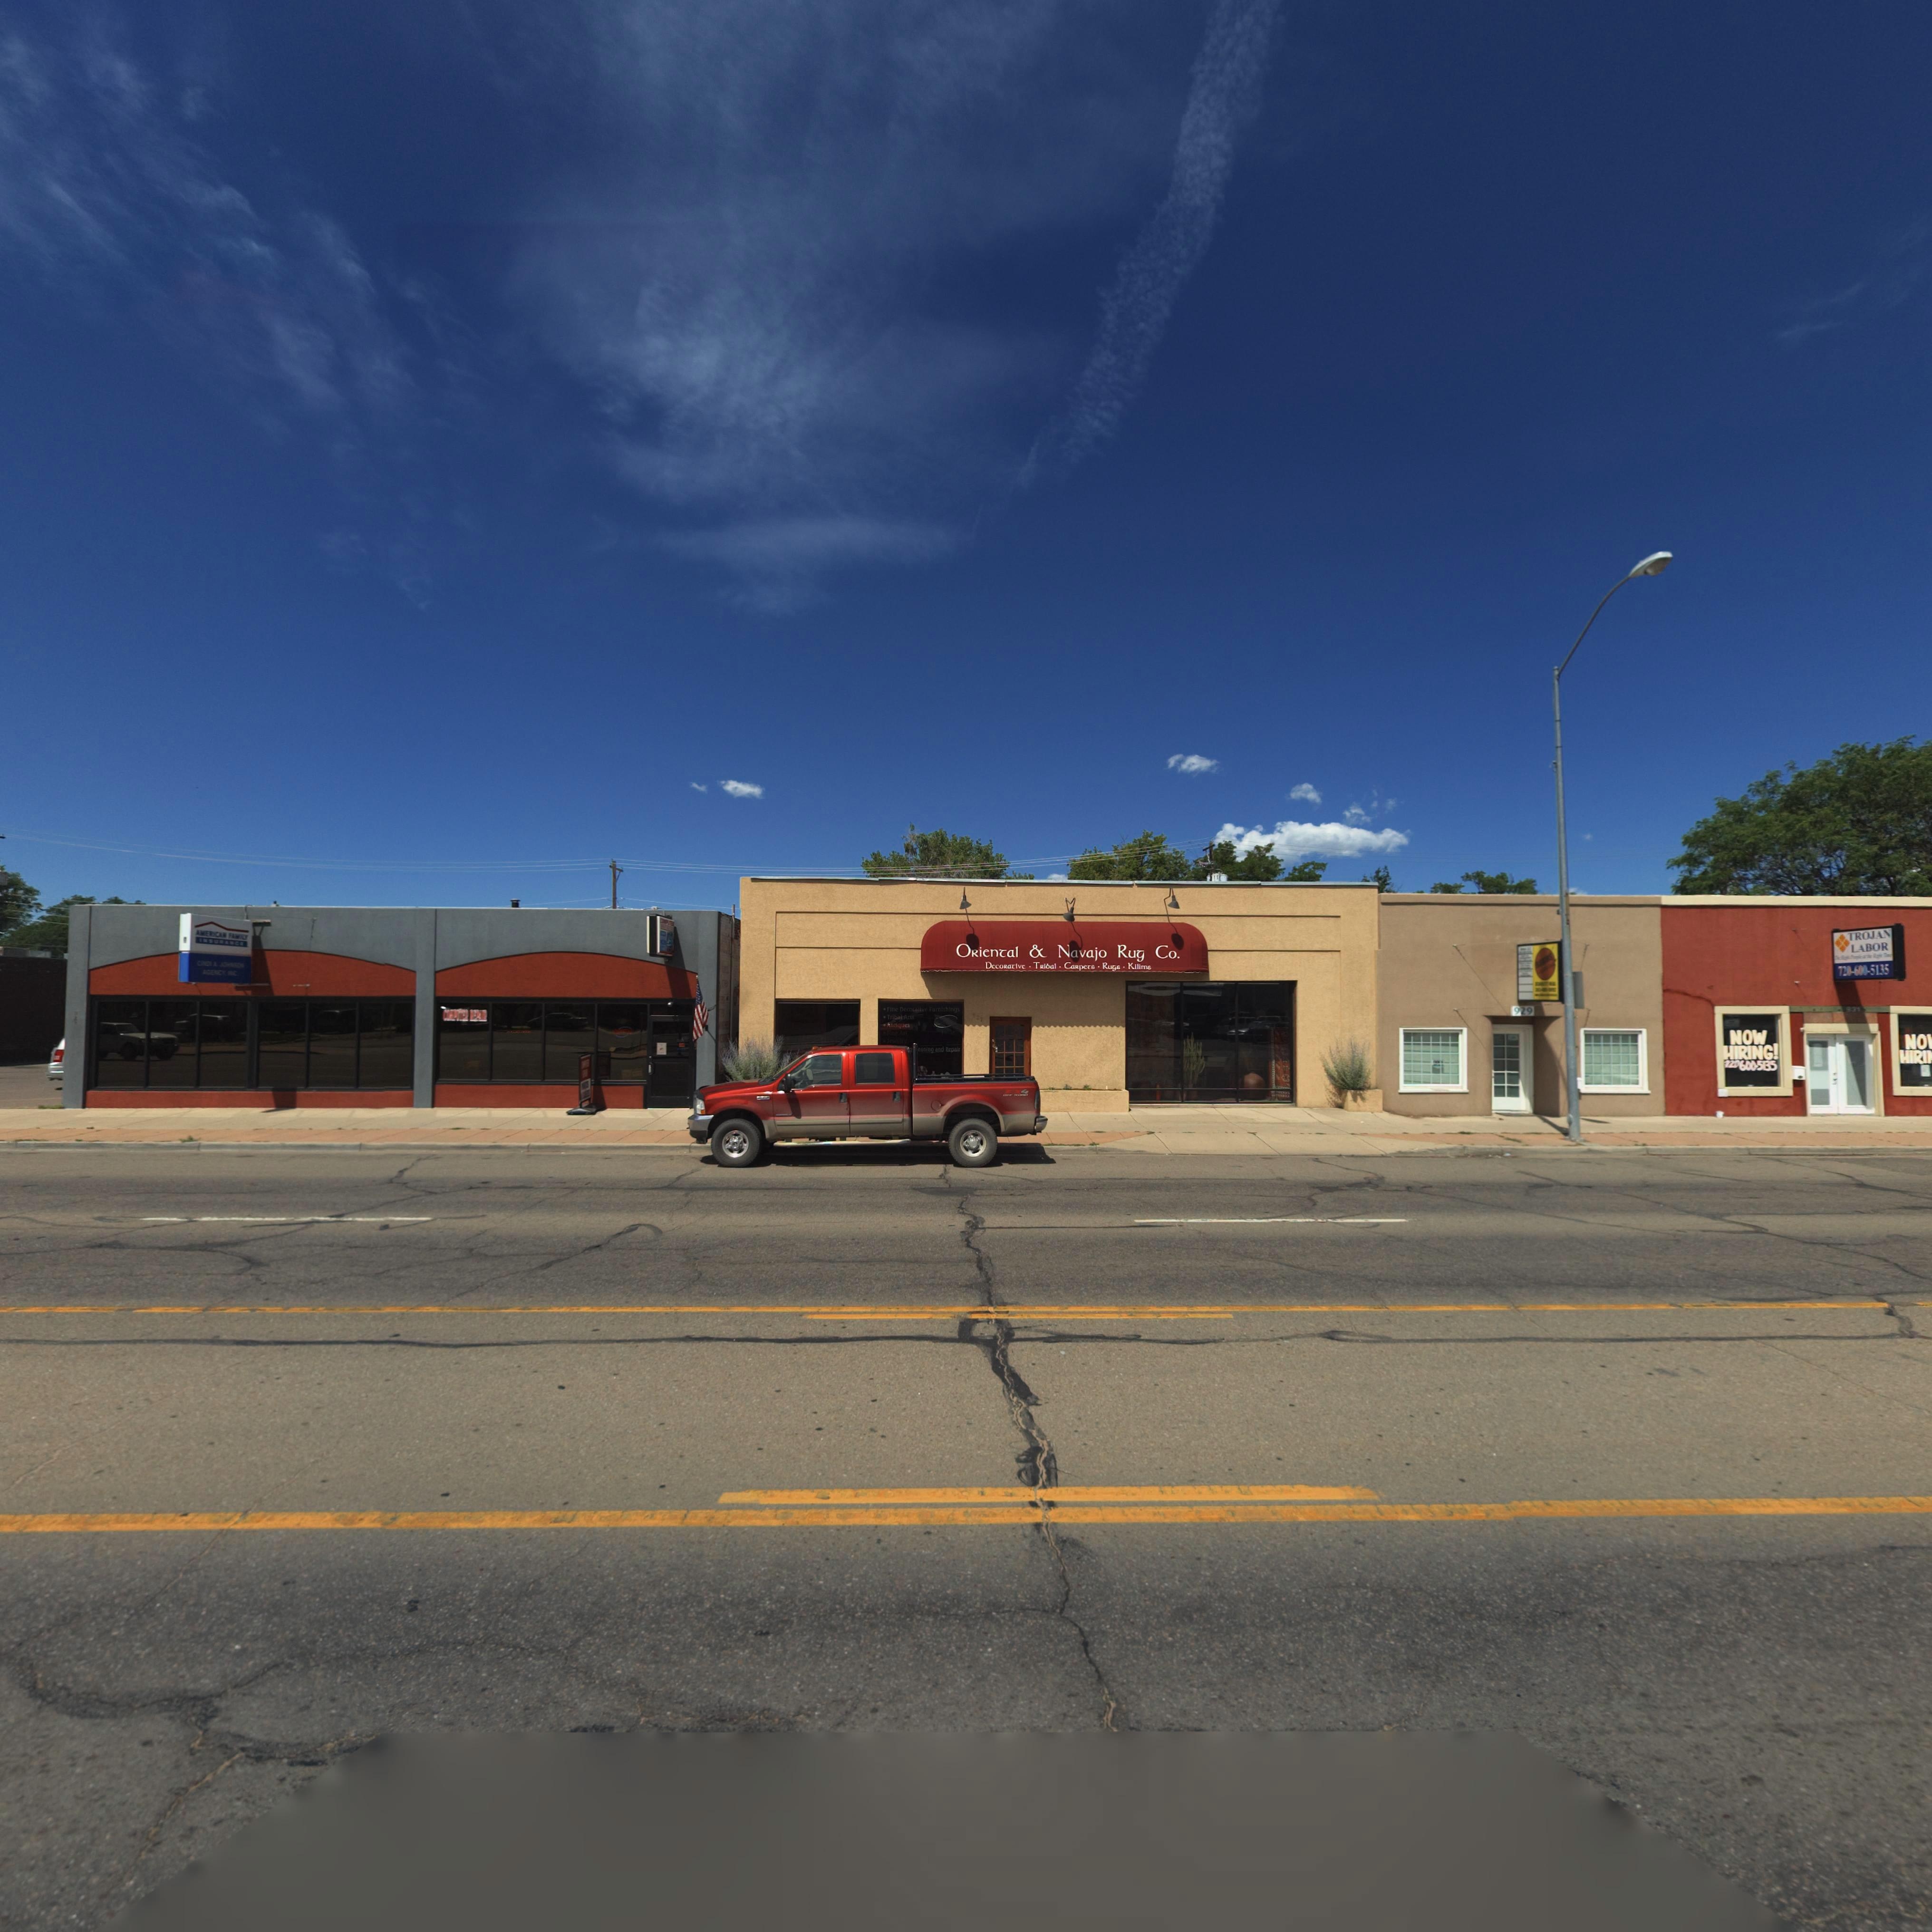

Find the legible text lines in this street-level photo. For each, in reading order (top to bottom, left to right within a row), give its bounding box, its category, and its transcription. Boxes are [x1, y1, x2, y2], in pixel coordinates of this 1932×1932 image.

[195, 929, 248, 940] BusinessName: AMERICAN FAMILY
[1847, 928, 1891, 941] BusinessName: TROJAN
[199, 937, 243, 946] BusinessName: INSURANCE
[956, 942, 1180, 962] BusinessName: ORienTal & Navajo Rug Co.
[1850, 942, 1888, 953] BusinessName: LABOR
[1514, 1006, 1533, 1014] StreetNumber: 929
[1845, 1006, 1860, 1013] StreetNumber: 931
[971, 1012, 985, 1024] None: 927